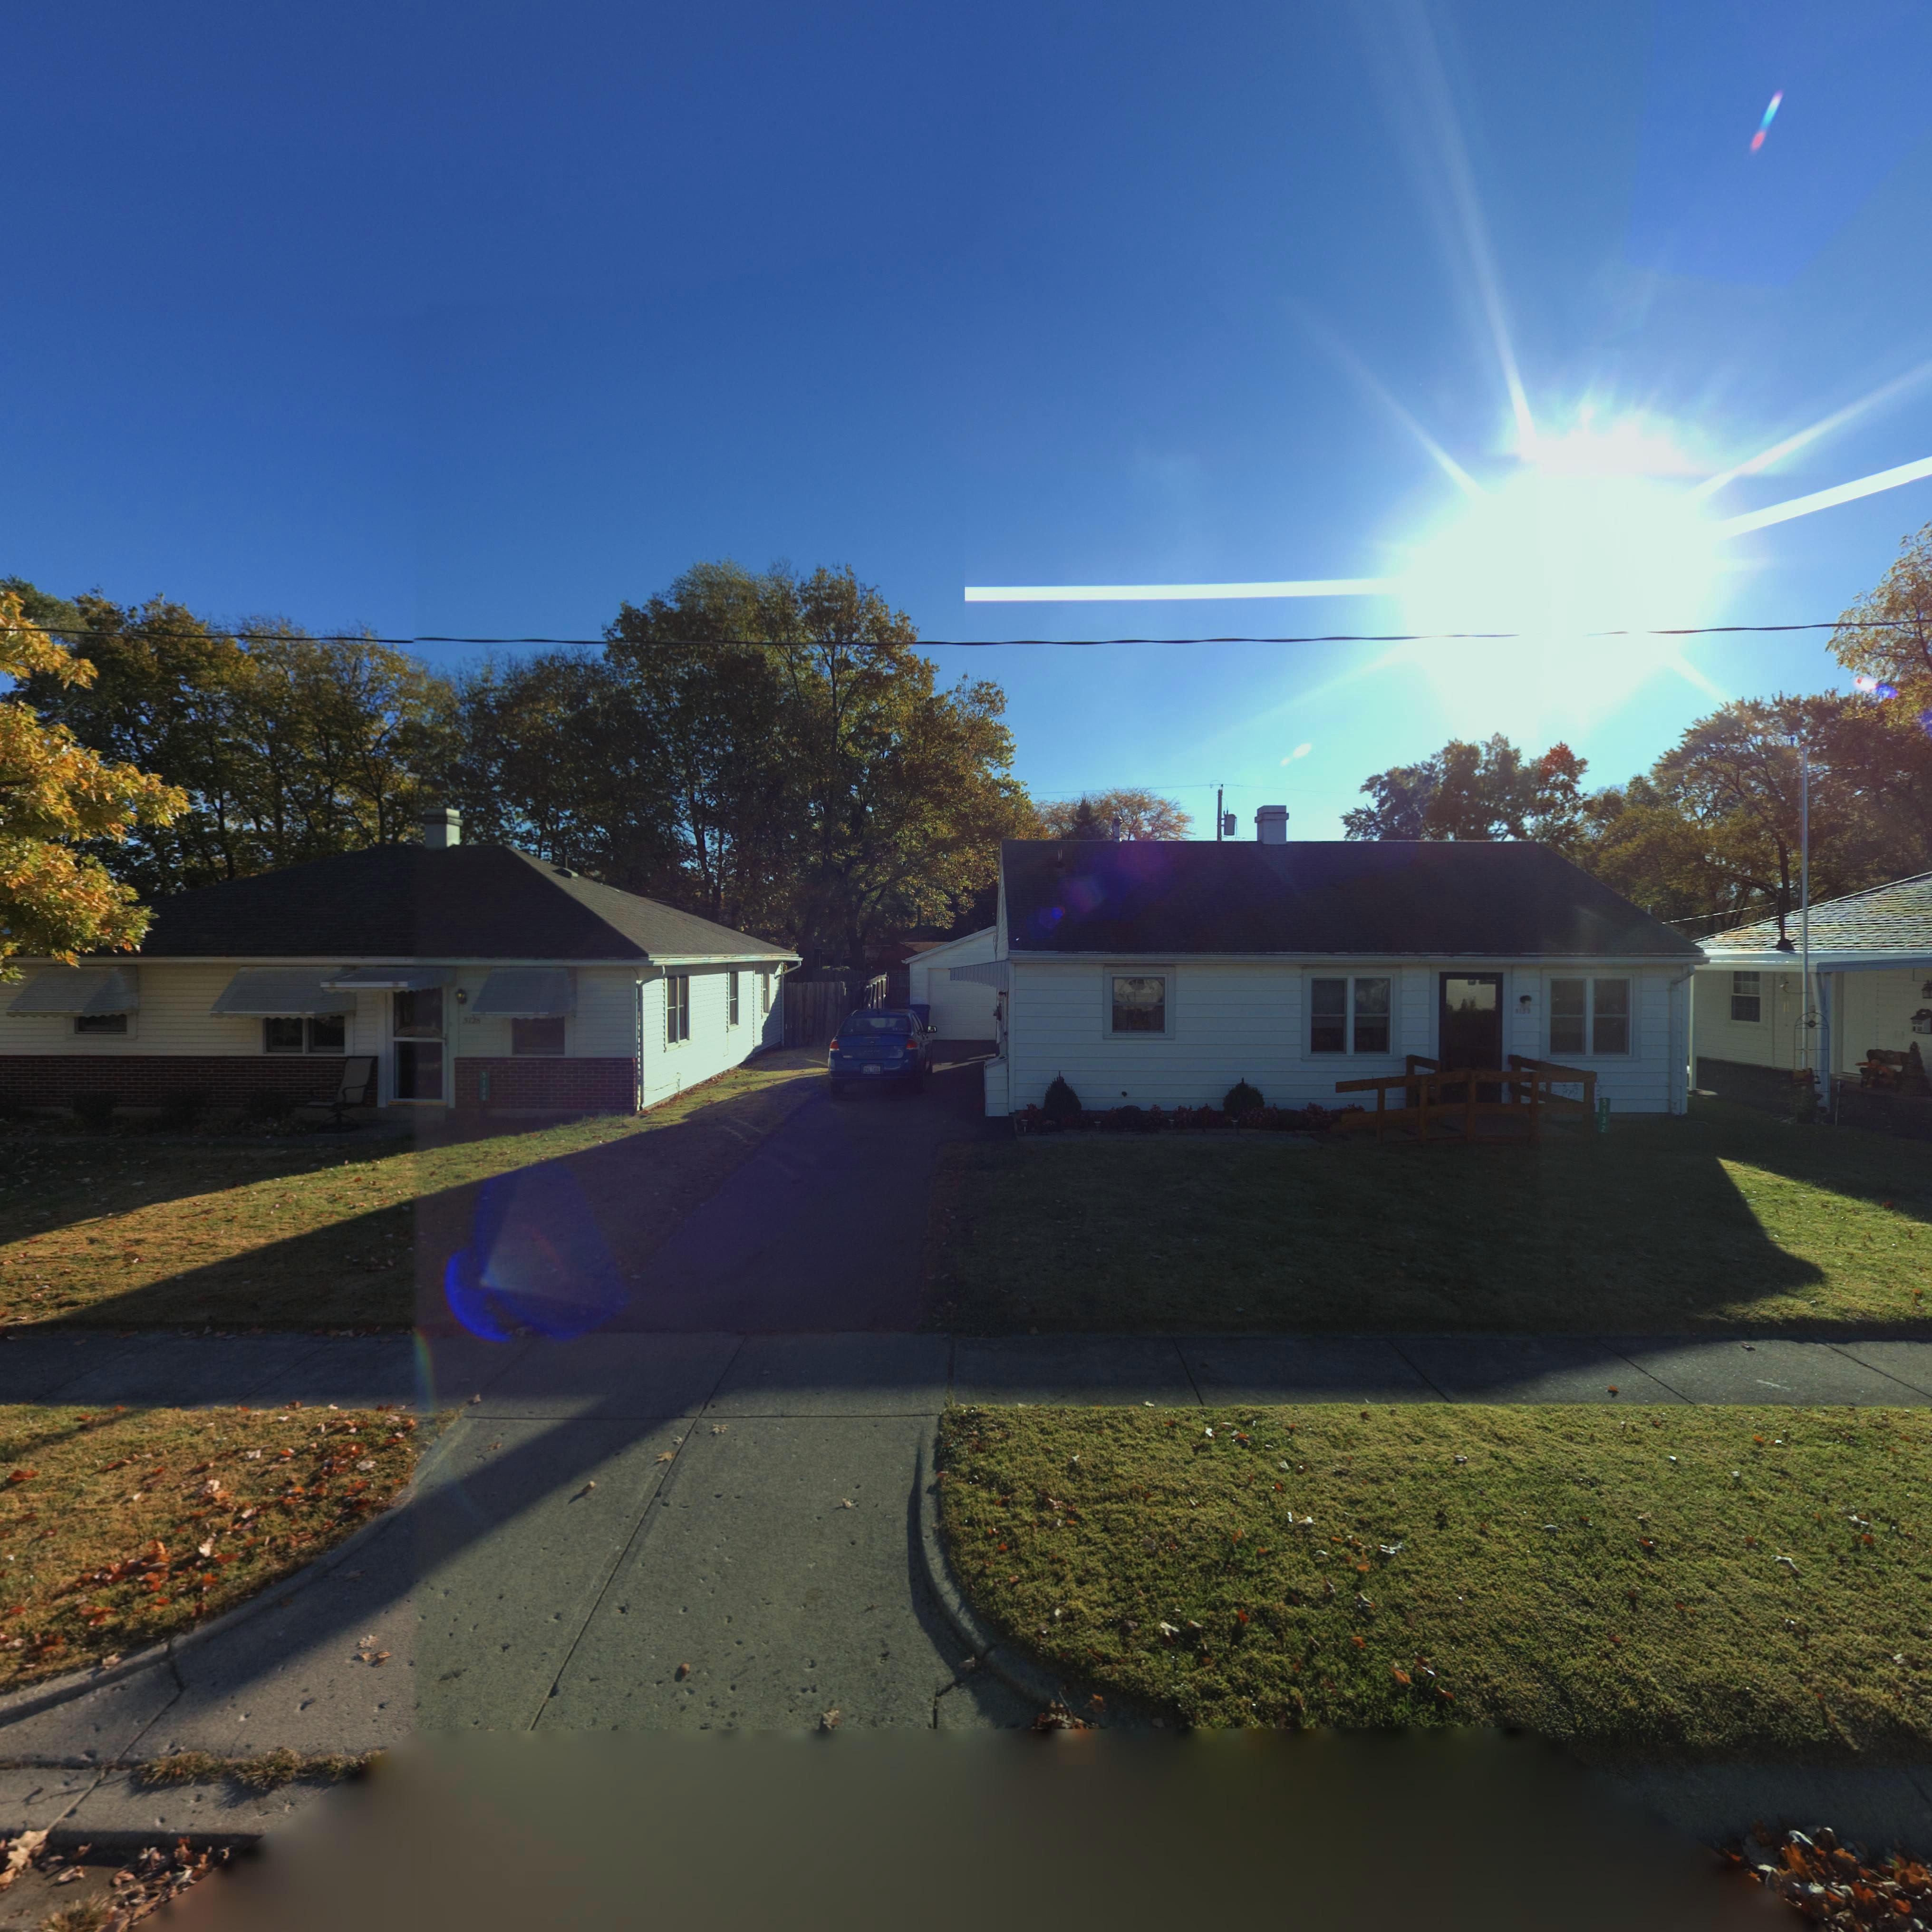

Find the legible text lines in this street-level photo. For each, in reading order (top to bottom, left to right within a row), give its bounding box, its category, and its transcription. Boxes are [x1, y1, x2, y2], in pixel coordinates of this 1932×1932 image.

[462, 1017, 481, 1024] StreetNumber: 5128
[1513, 1007, 1531, 1014] StreetNumber: *132
[482, 1071, 487, 1101] StreetNumber: 5128
[1601, 1098, 1608, 1133] StreetNumber: 5132